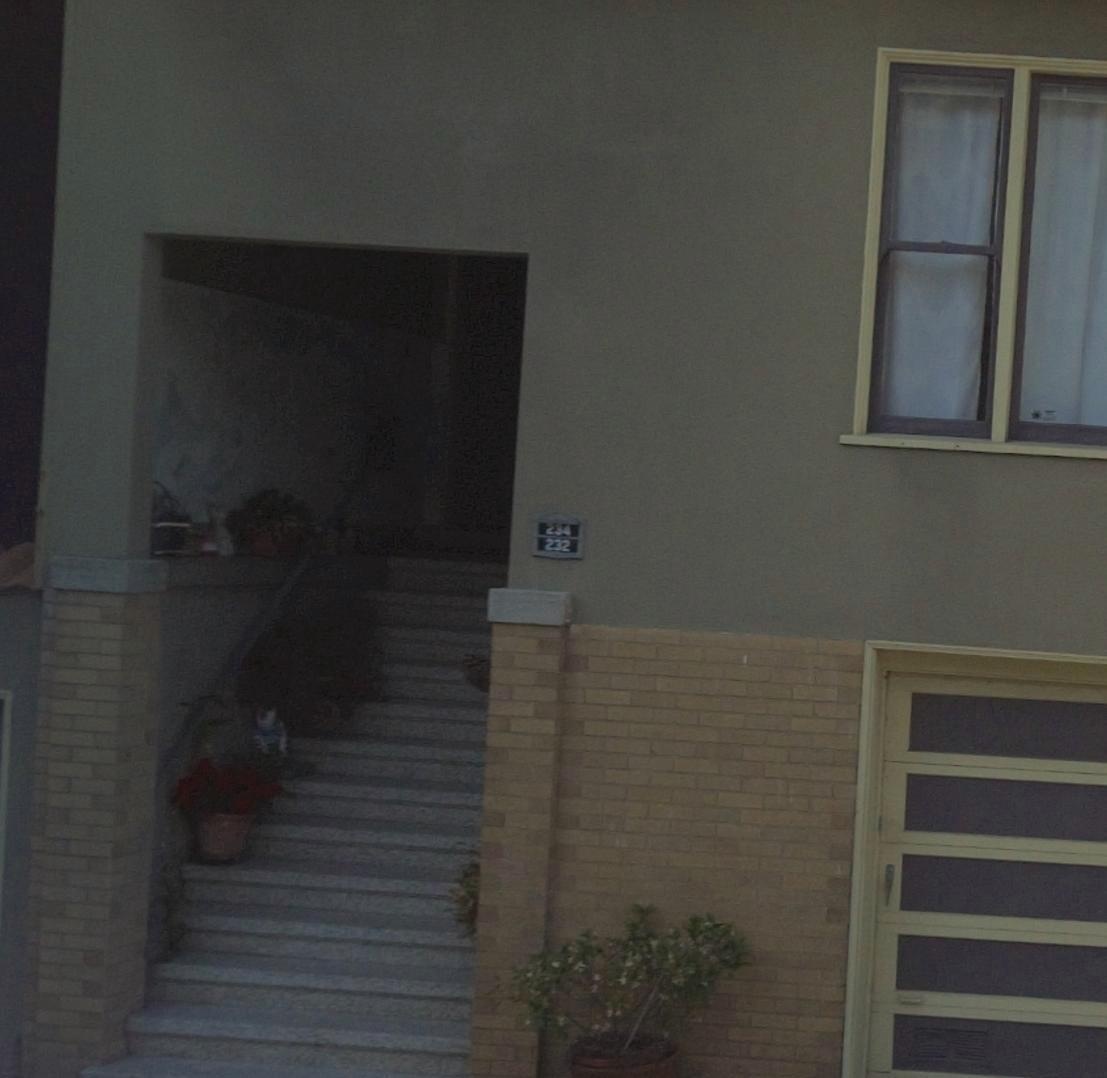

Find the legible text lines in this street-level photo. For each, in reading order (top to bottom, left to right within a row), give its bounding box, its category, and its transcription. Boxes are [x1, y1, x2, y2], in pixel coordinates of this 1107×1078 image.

[544, 521, 572, 538] StreetNumber: 234
[543, 536, 572, 553] StreetNumber: 232